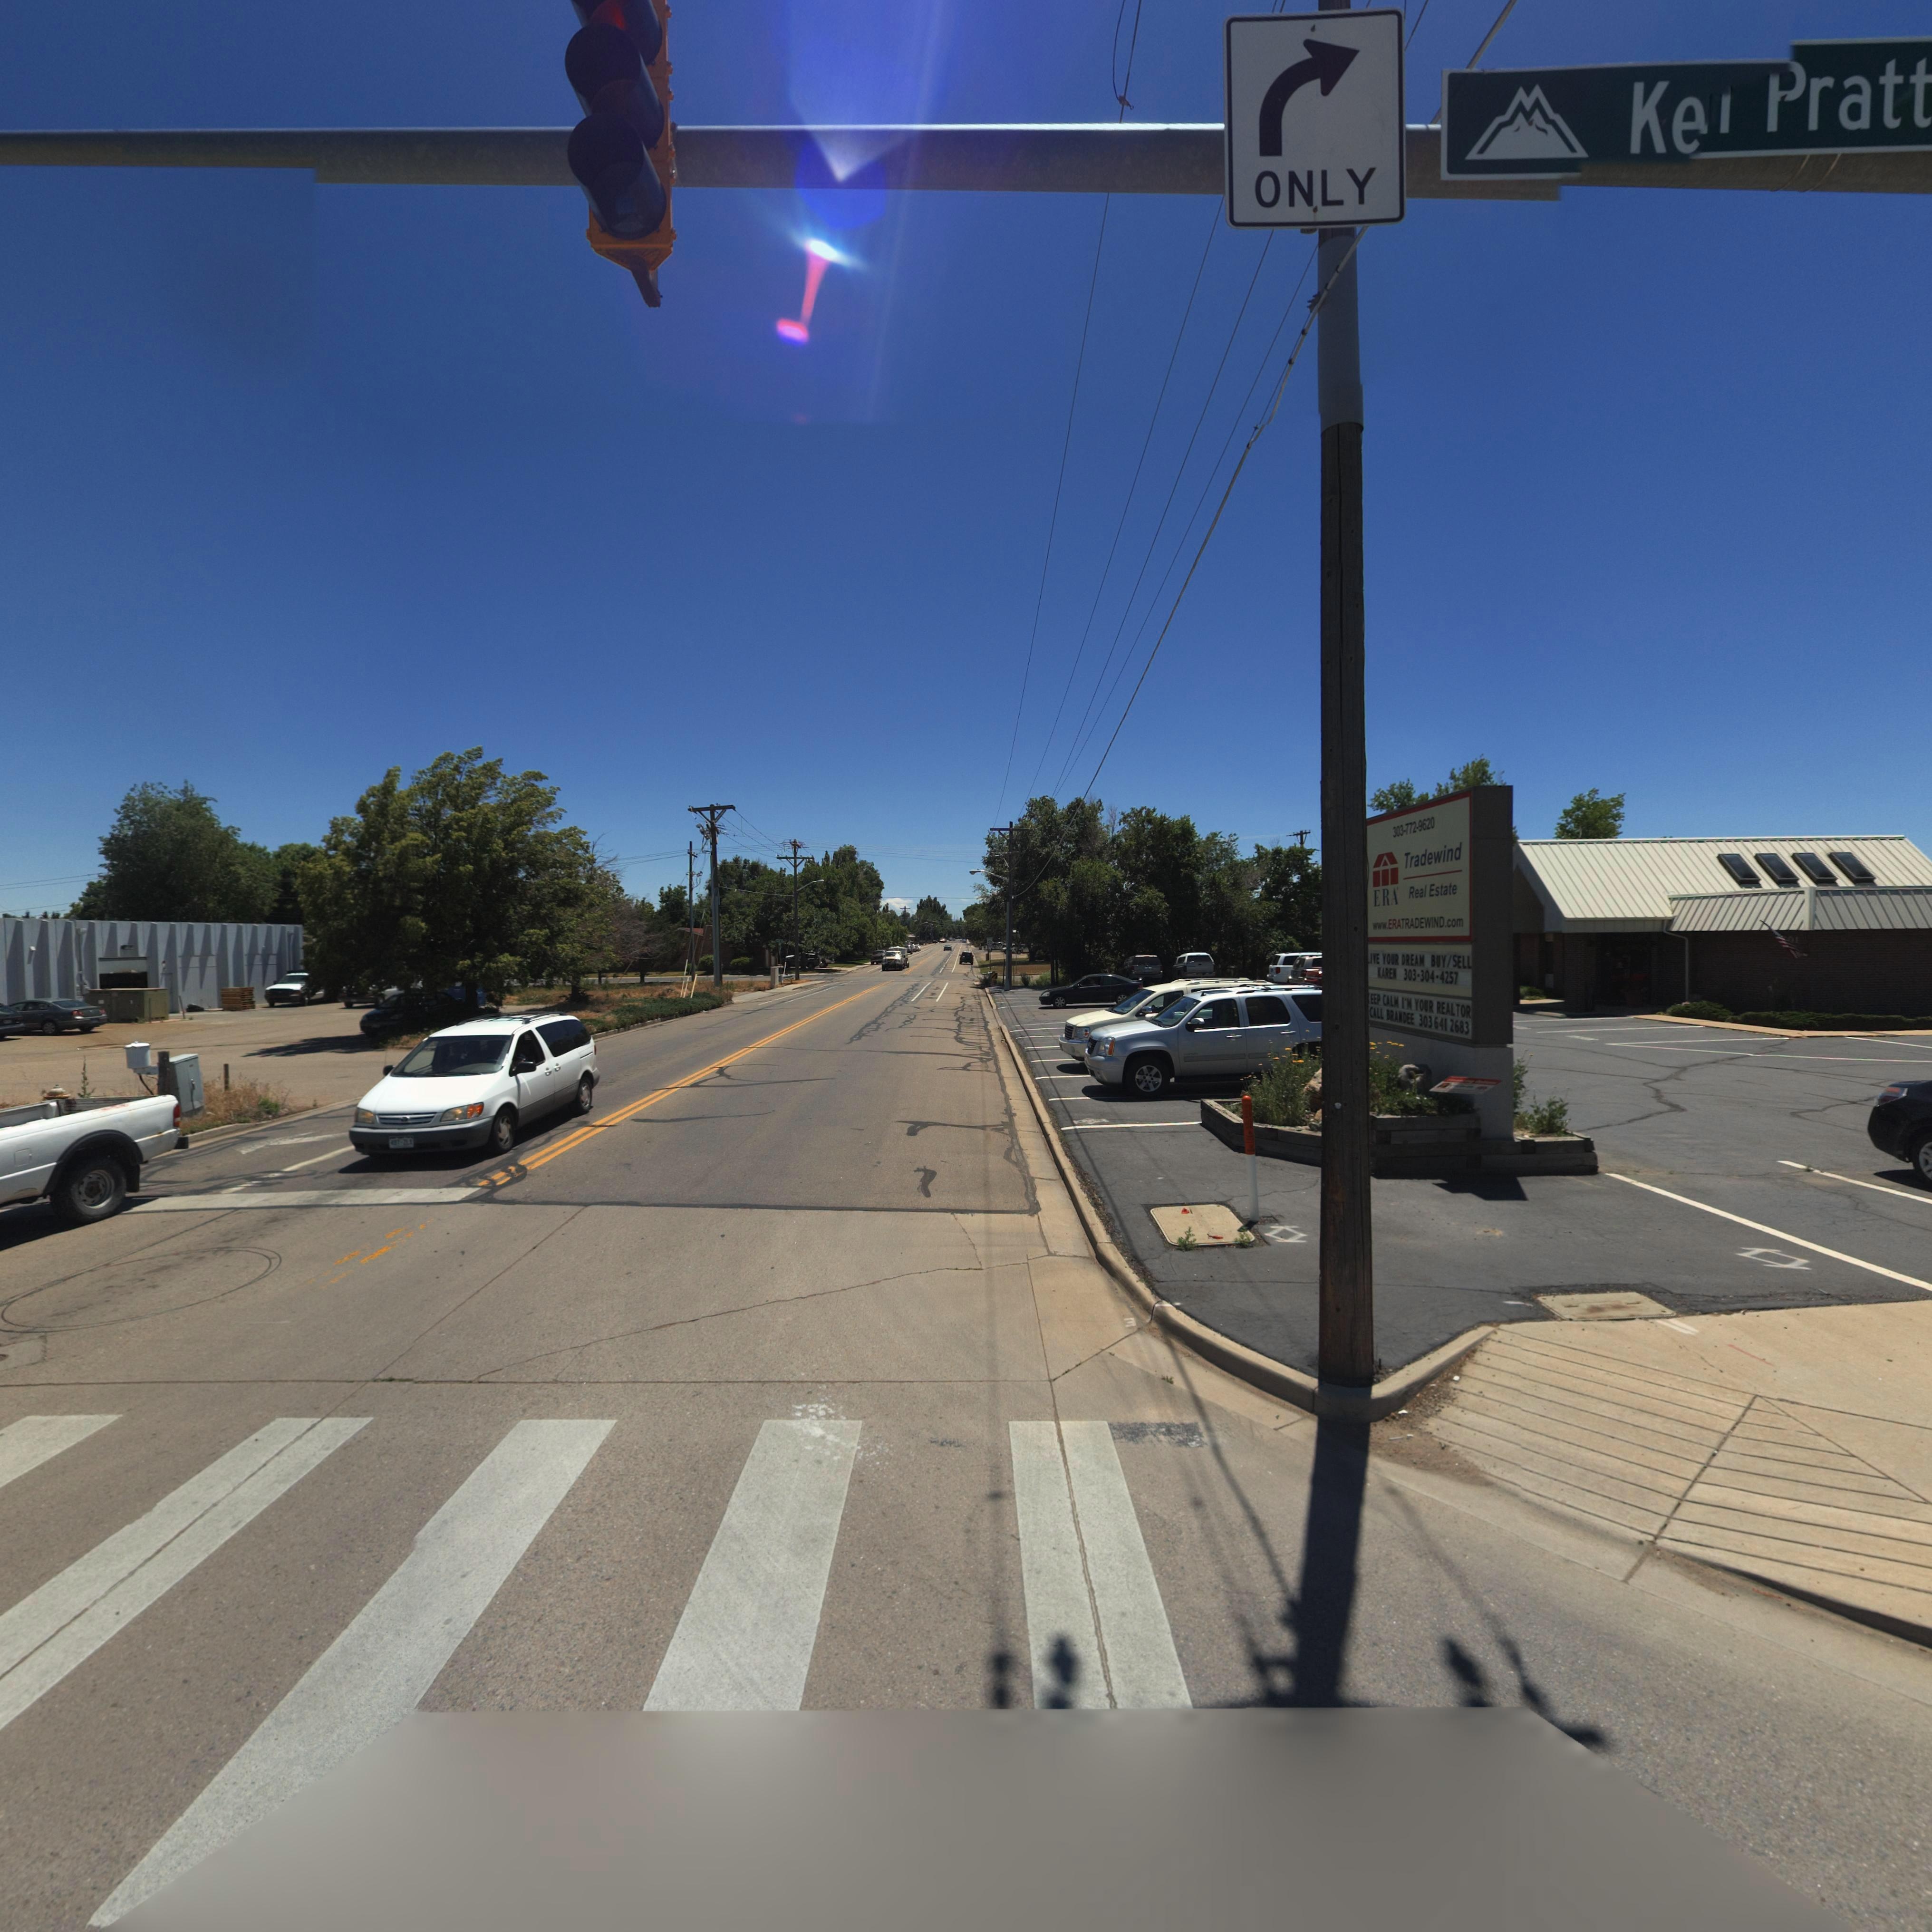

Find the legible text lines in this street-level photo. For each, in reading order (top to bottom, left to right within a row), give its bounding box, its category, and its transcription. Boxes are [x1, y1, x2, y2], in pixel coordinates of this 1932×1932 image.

[1631, 54, 1931, 155] StreetName: Ke* Pratt
[1403, 841, 1463, 869] BusinessName: Tradewind
[1373, 887, 1399, 907] BusinessName: ERA
[1409, 881, 1458, 899] BusinessName: Real Estate